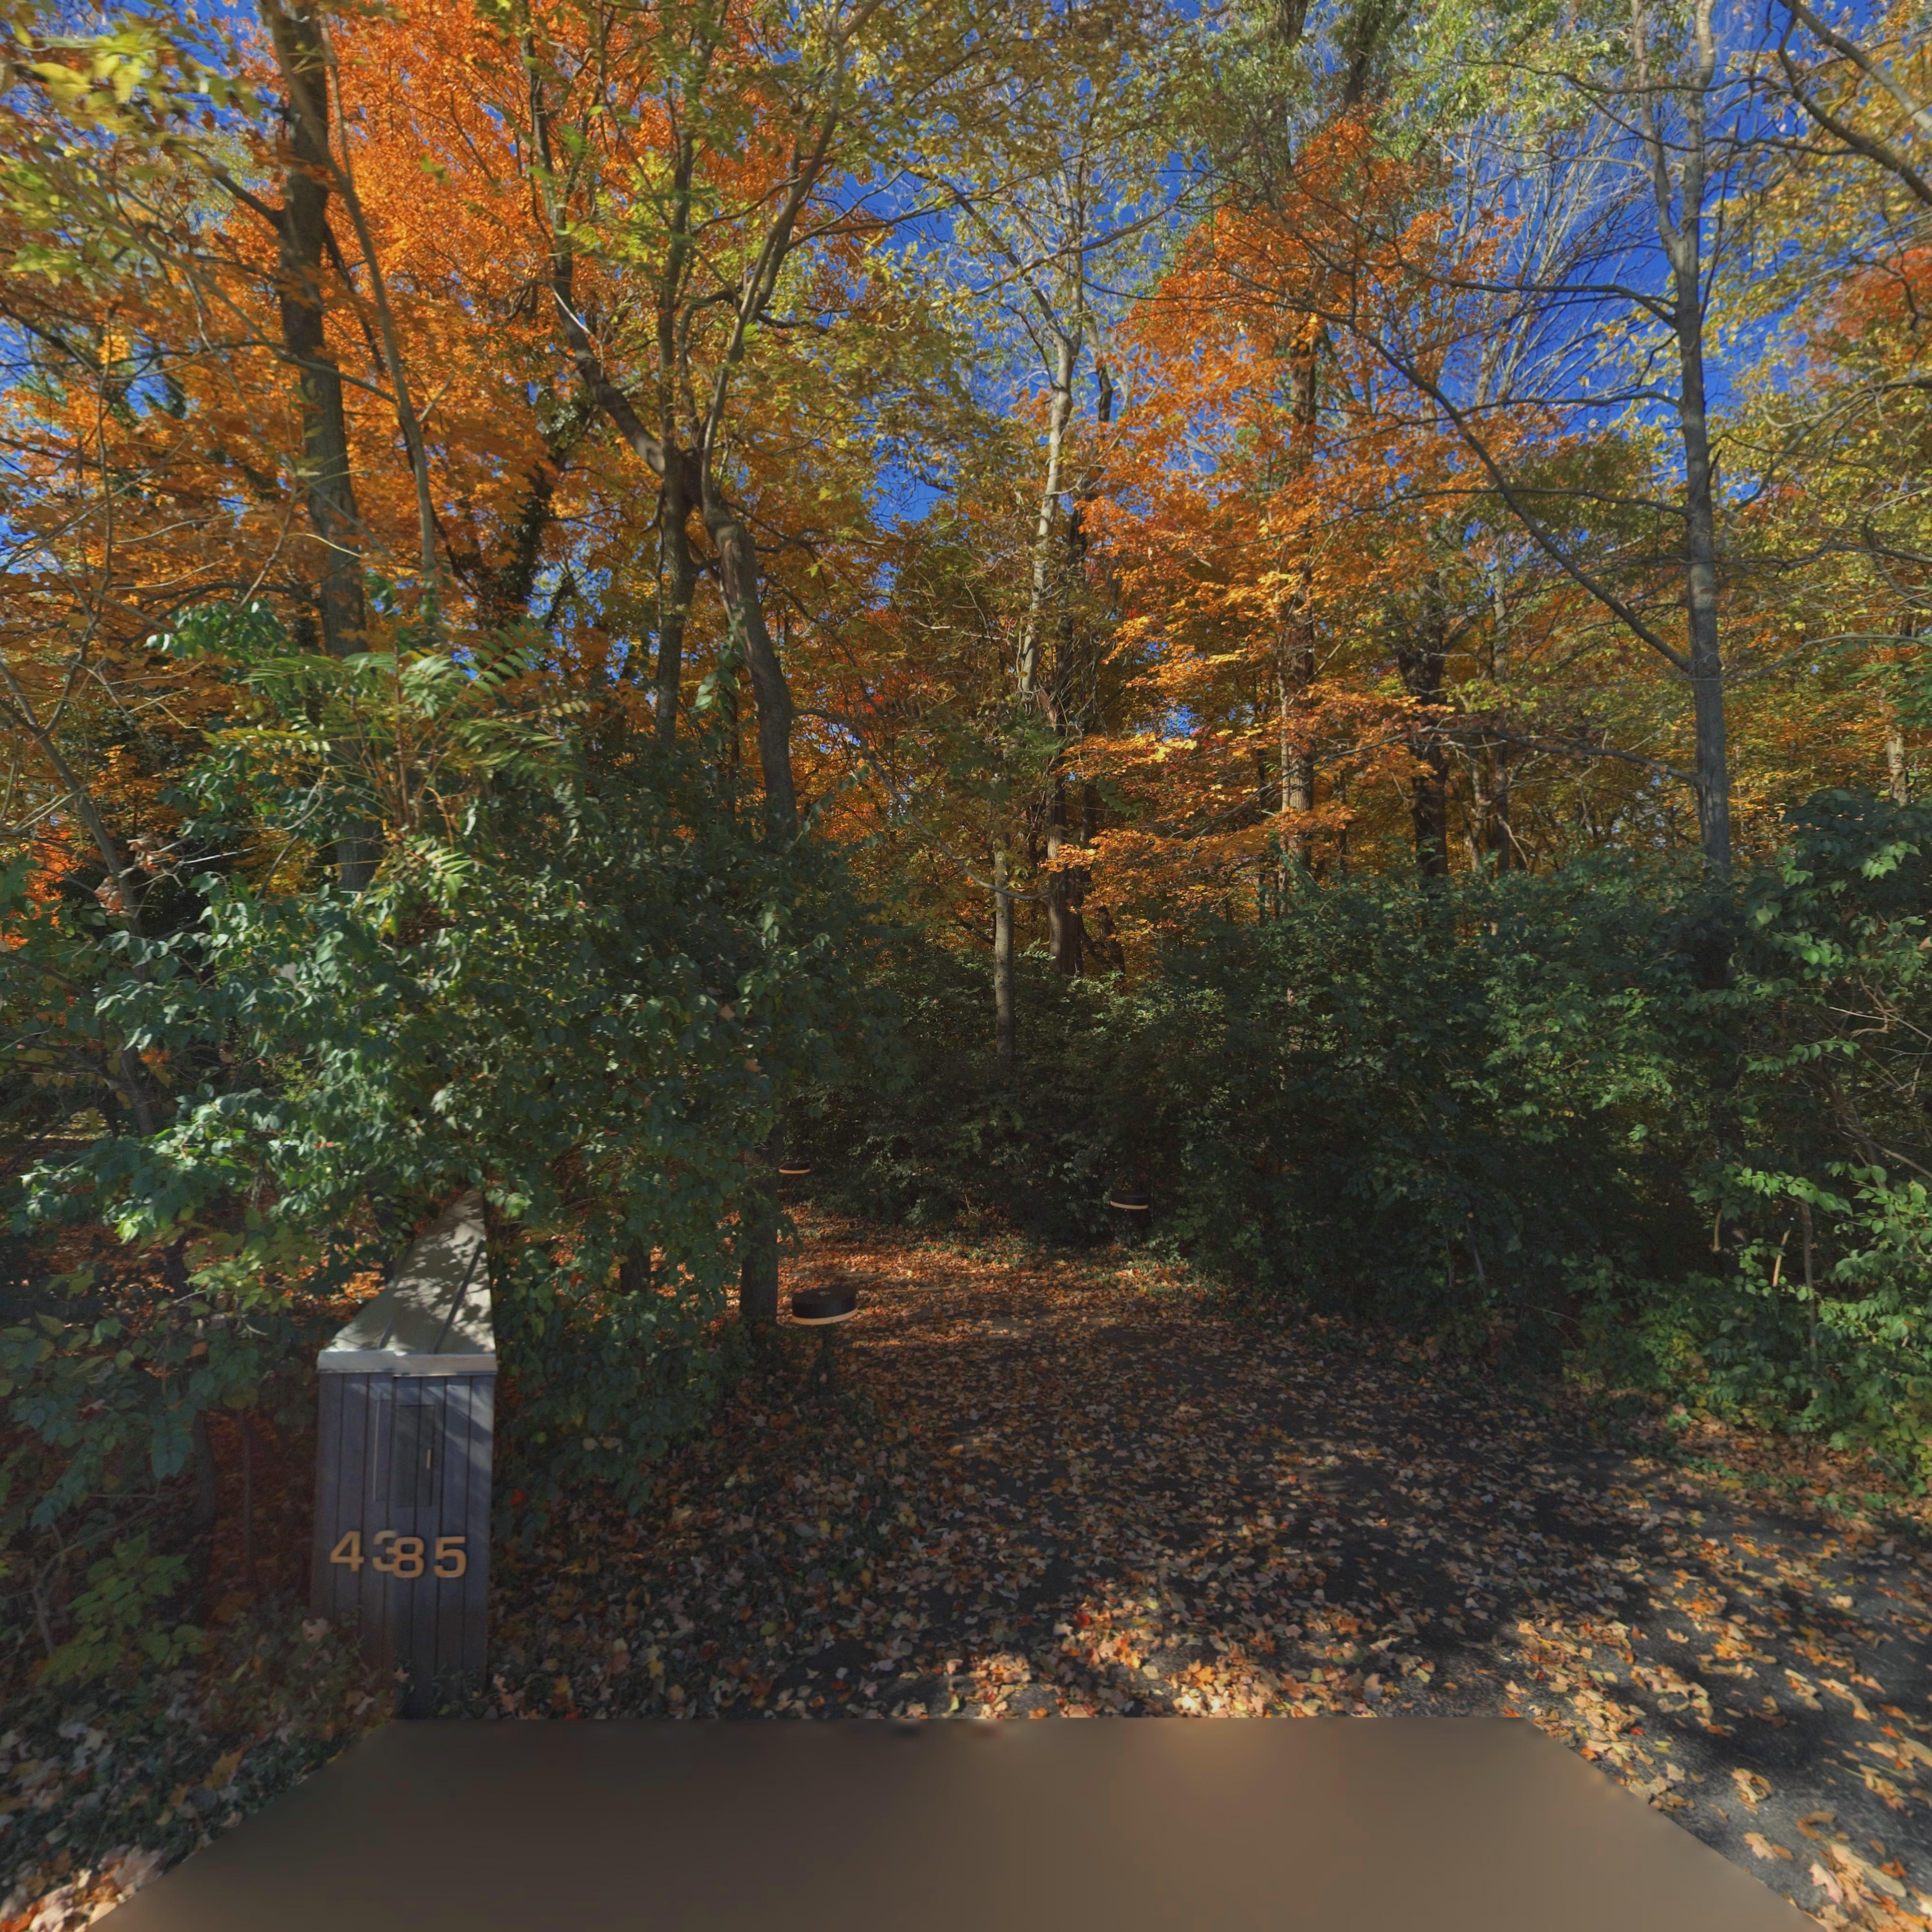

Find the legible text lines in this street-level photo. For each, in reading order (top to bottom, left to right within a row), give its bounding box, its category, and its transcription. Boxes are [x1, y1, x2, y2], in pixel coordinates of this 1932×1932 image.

[323, 1522, 470, 1583] StreetNumber: 4*85